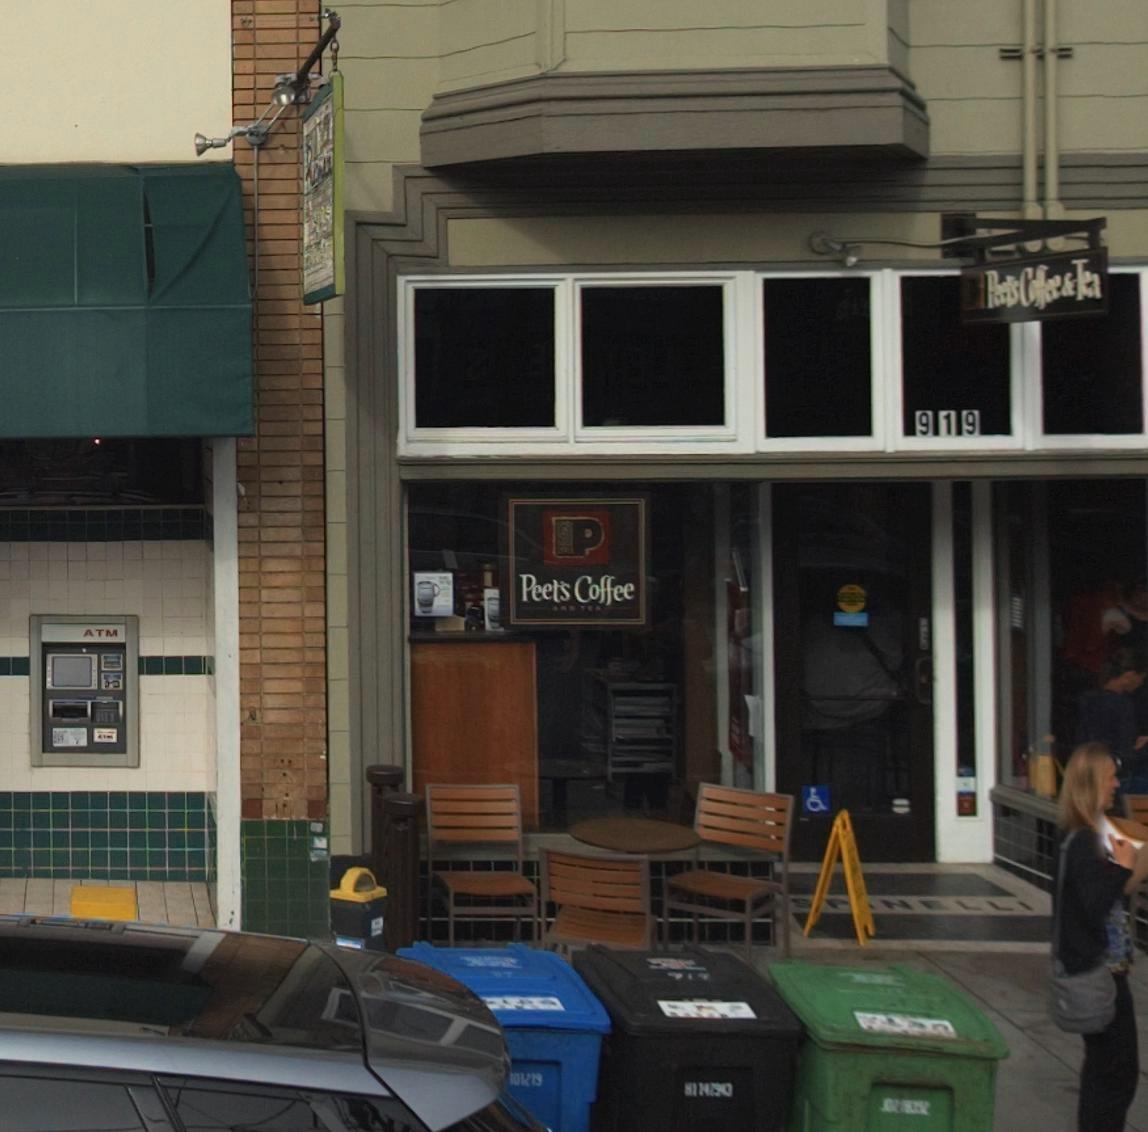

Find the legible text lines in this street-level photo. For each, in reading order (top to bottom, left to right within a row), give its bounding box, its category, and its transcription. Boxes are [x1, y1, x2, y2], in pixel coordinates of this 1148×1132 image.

[983, 256, 1104, 312] BusinessName: Peete's Coffee & Tea
[916, 411, 977, 436] StreetNumber: 919
[517, 572, 636, 606] BusinessName: Peet's Coffee
[551, 605, 604, 612] None: AND TEA
[82, 628, 118, 638] None: ATM
[96, 733, 113, 740] None: ATM
[787, 897, 1040, 912] None: S*P*NELLI
[683, 1082, 734, 1098] None: H1147***
[880, 1097, 931, 1116] None: J02*8352